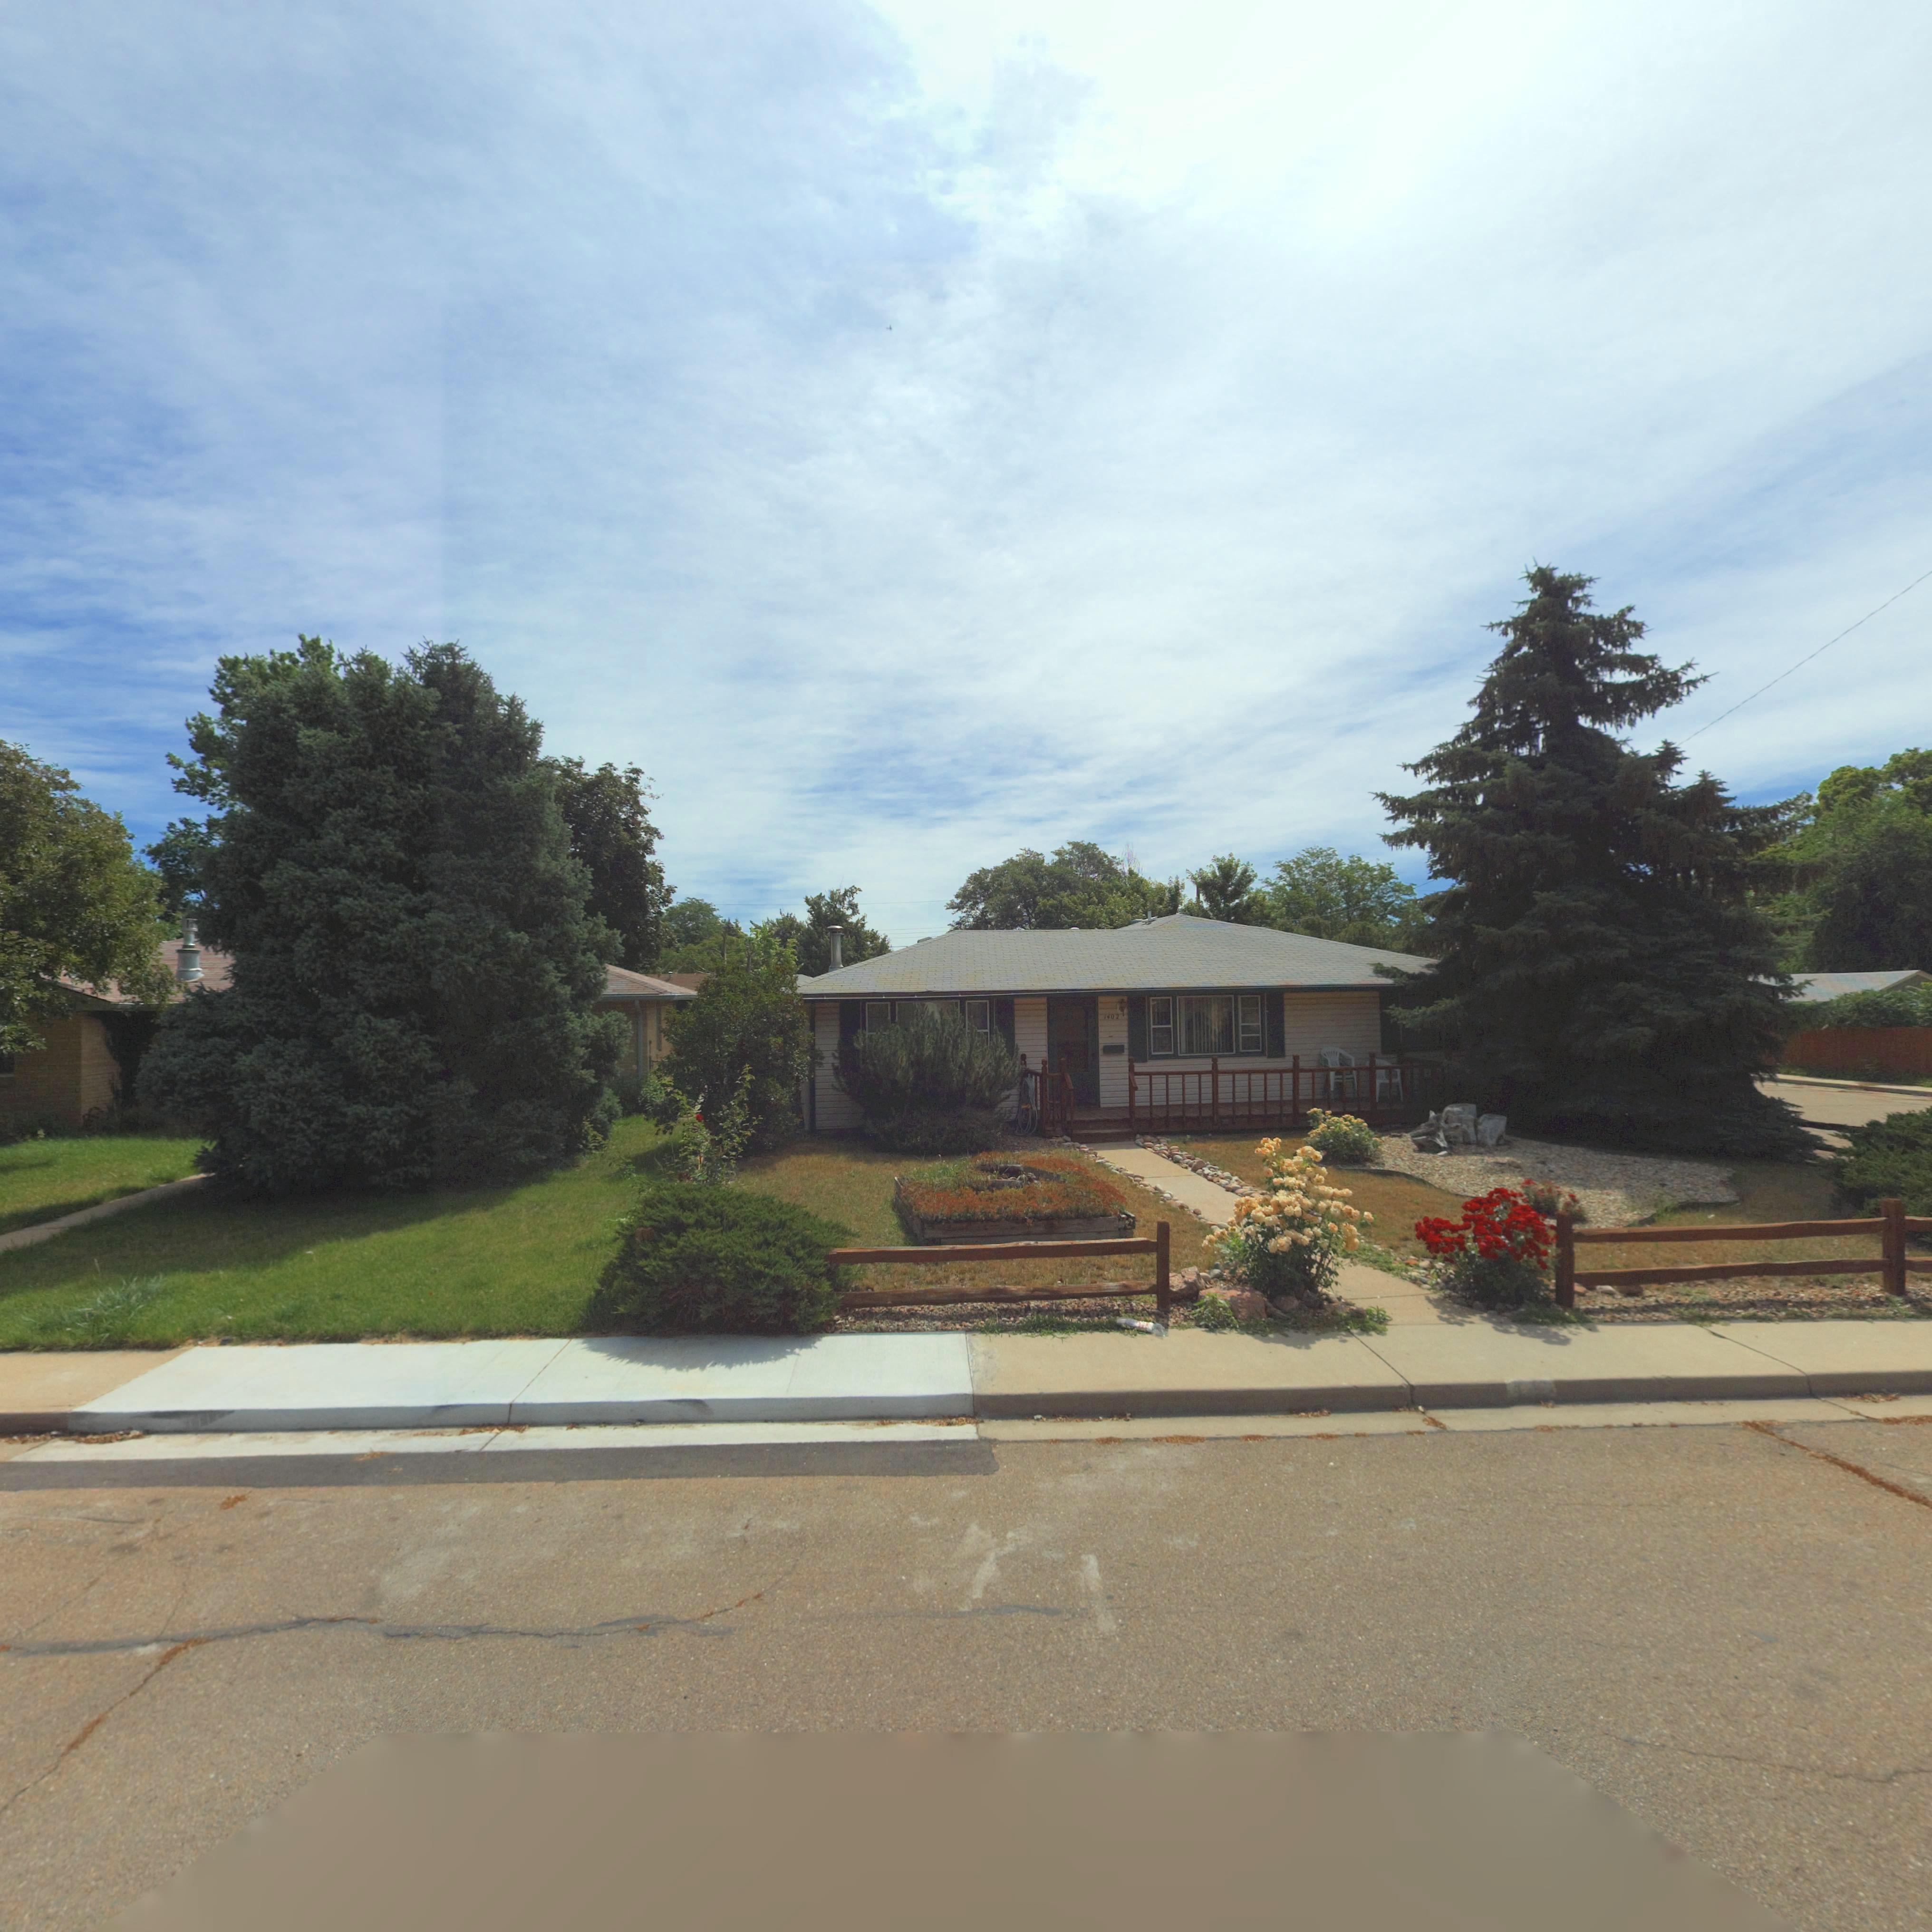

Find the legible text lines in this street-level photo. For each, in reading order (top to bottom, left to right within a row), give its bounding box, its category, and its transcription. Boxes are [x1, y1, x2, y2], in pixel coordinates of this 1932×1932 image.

[1103, 1013, 1119, 1019] StreetNumber: 1402